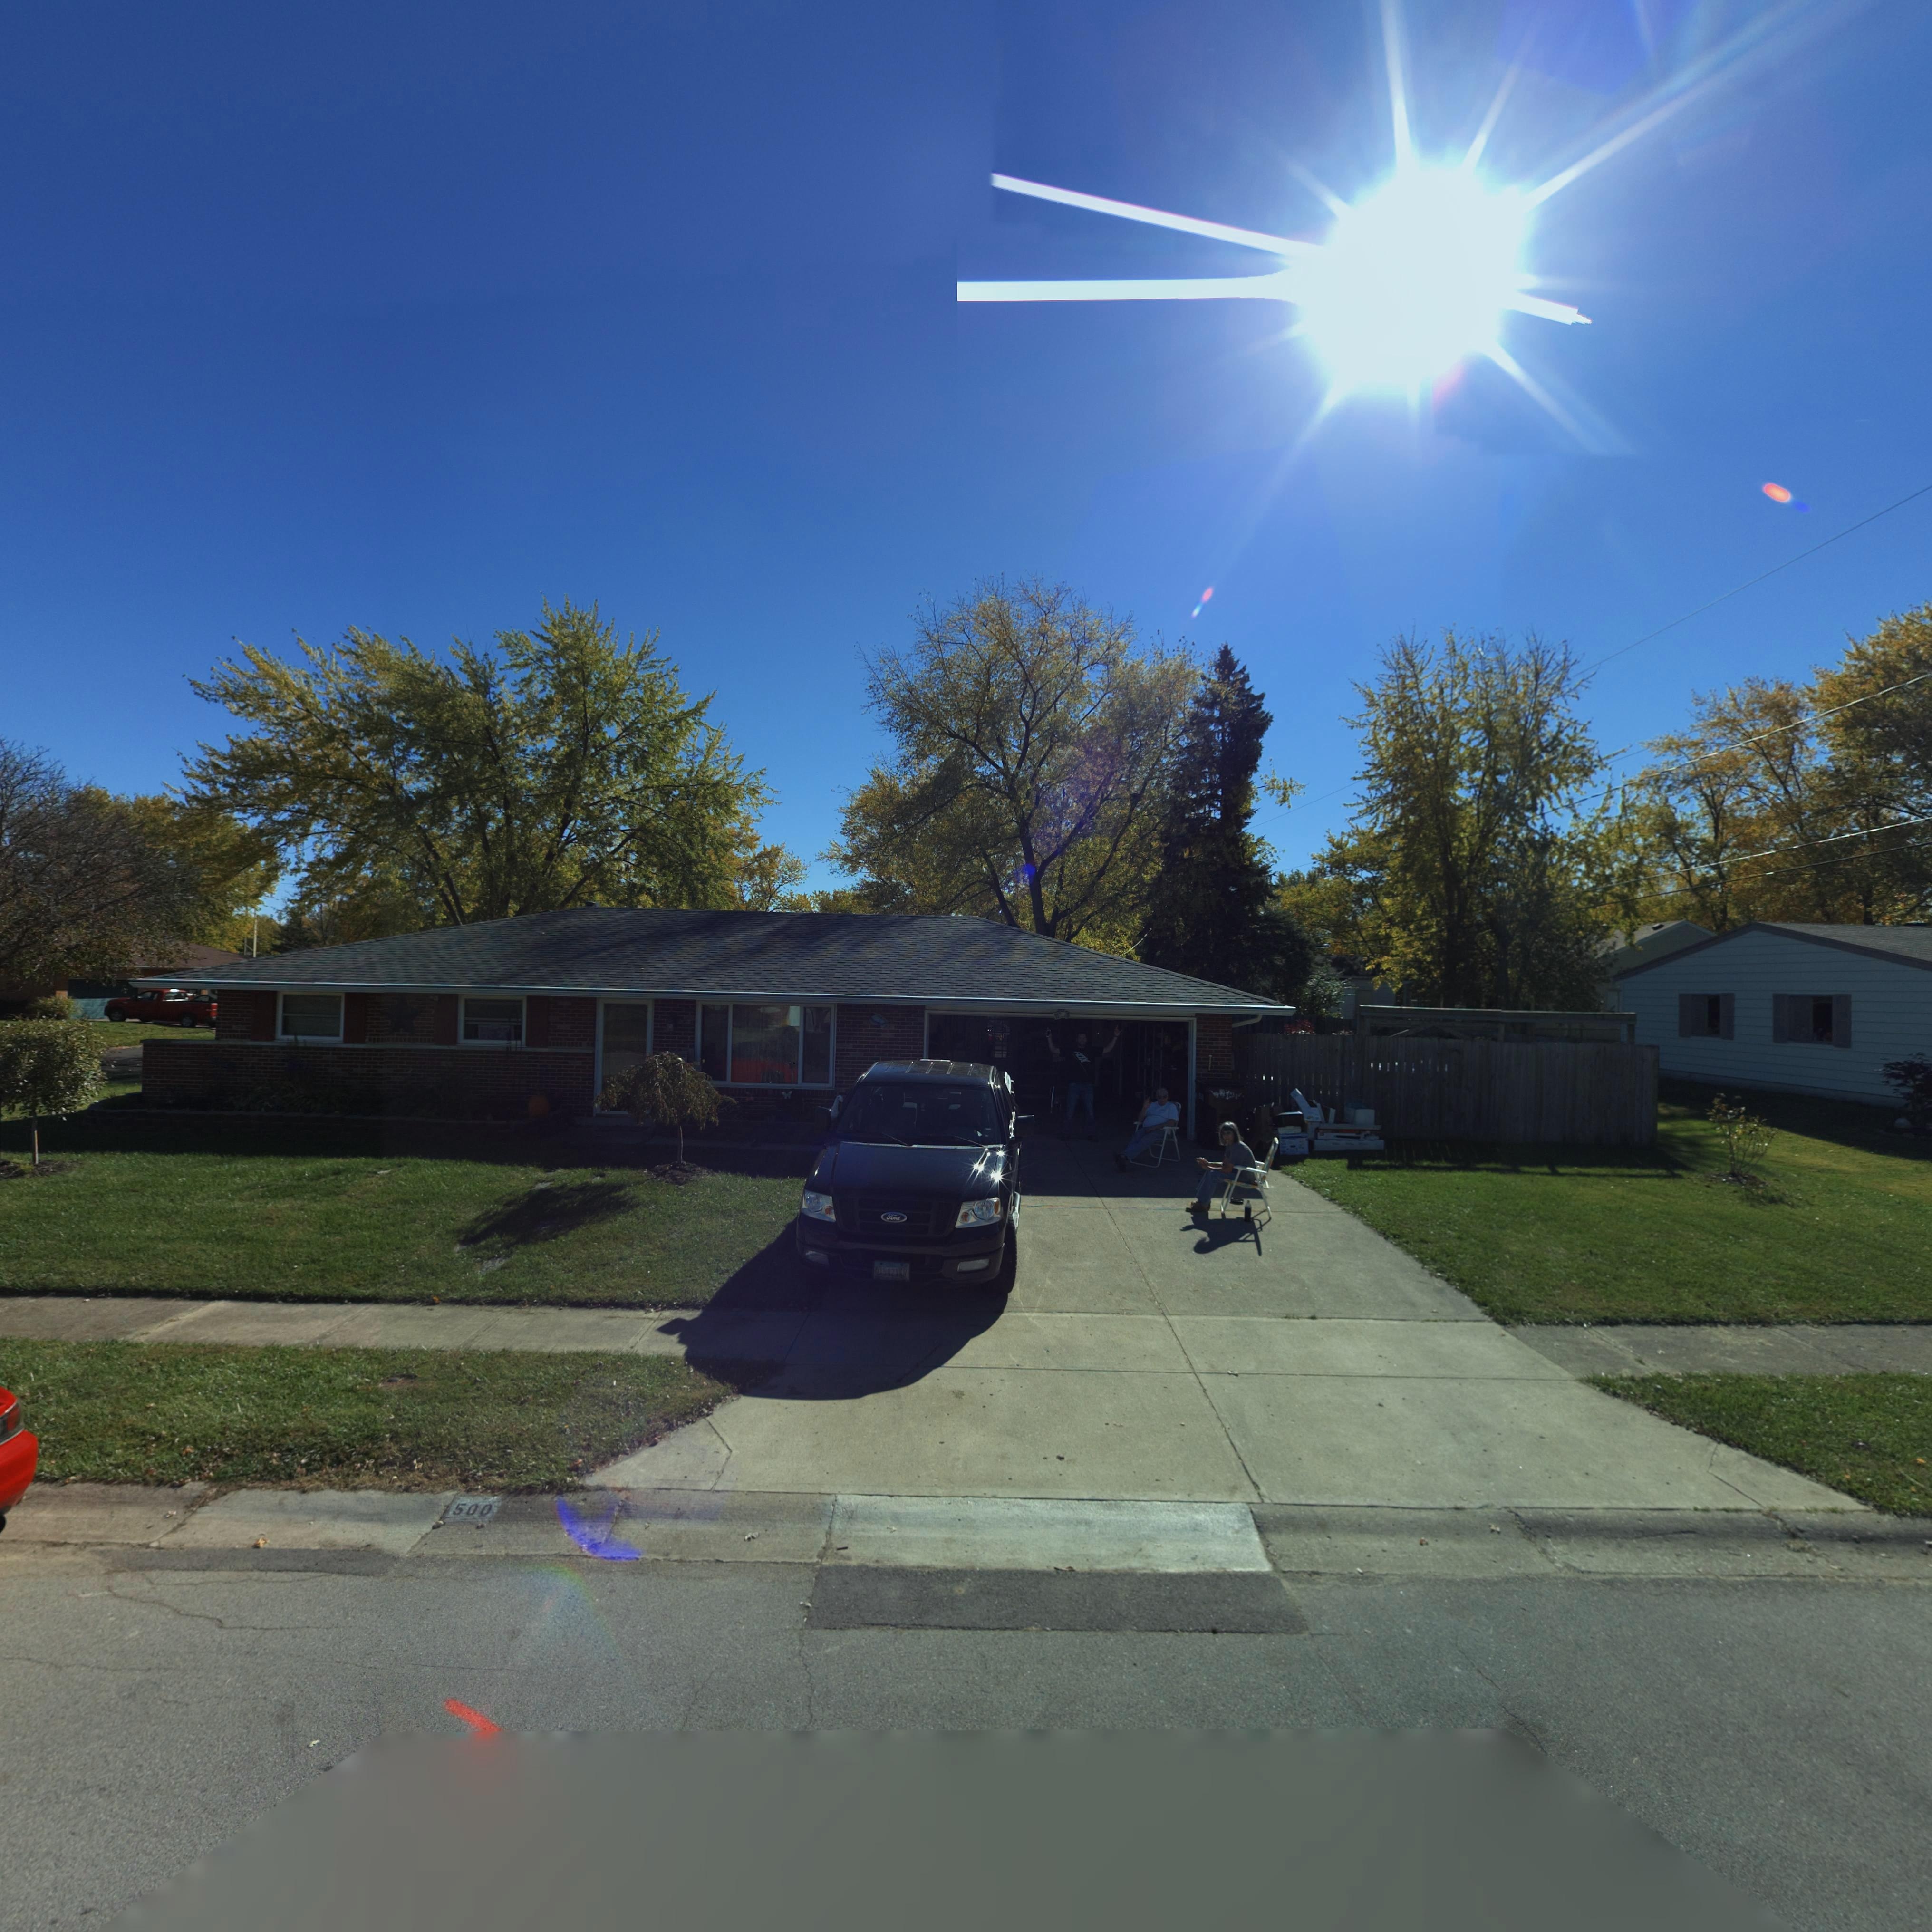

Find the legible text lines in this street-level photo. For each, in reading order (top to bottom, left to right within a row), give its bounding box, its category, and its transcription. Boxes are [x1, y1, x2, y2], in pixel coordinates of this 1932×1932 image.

[451, 1502, 494, 1517] StreetNumber: 500